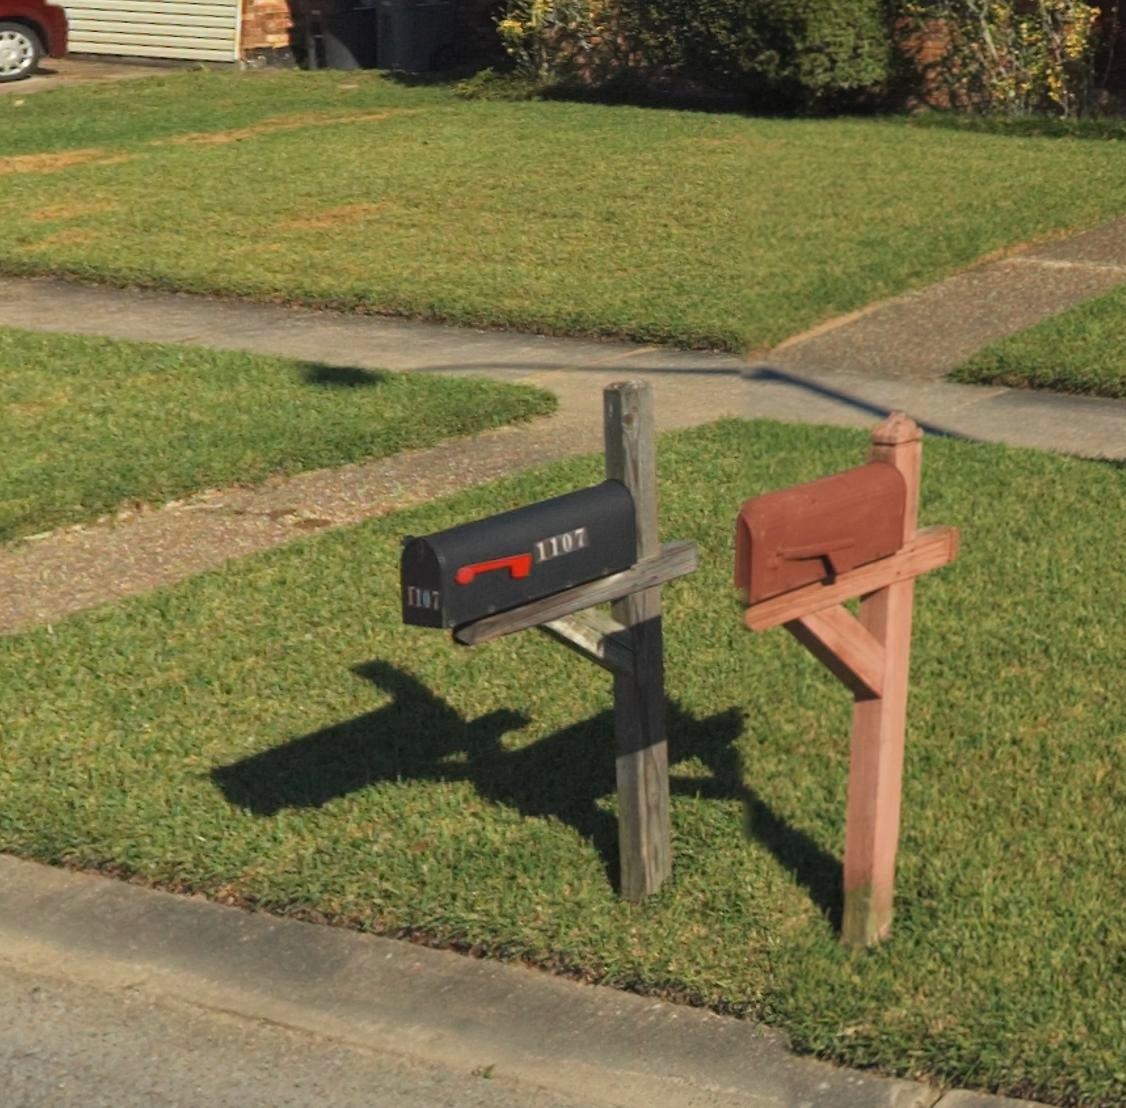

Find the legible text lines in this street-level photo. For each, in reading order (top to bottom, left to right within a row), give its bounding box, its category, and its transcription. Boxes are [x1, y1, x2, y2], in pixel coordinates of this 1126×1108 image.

[535, 526, 586, 563] StreetNumber: 1107
[407, 586, 442, 610] StreetNumber: 1107